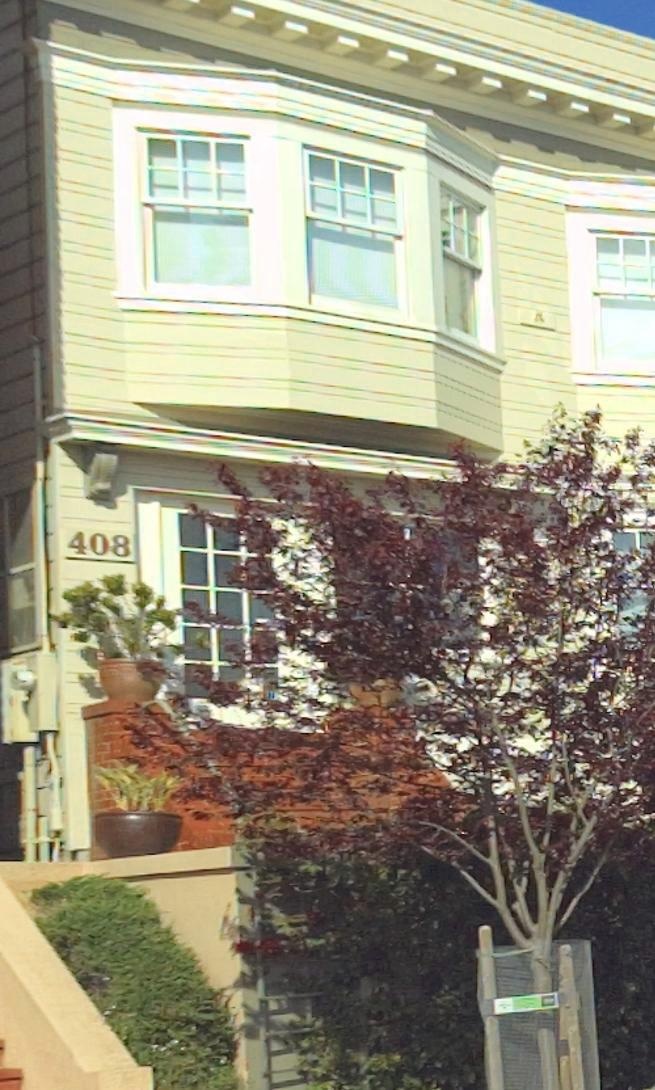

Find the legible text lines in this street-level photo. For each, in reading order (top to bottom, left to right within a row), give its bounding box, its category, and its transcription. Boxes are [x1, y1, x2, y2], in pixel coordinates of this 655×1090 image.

[66, 528, 132, 559] StreetNumber: 408